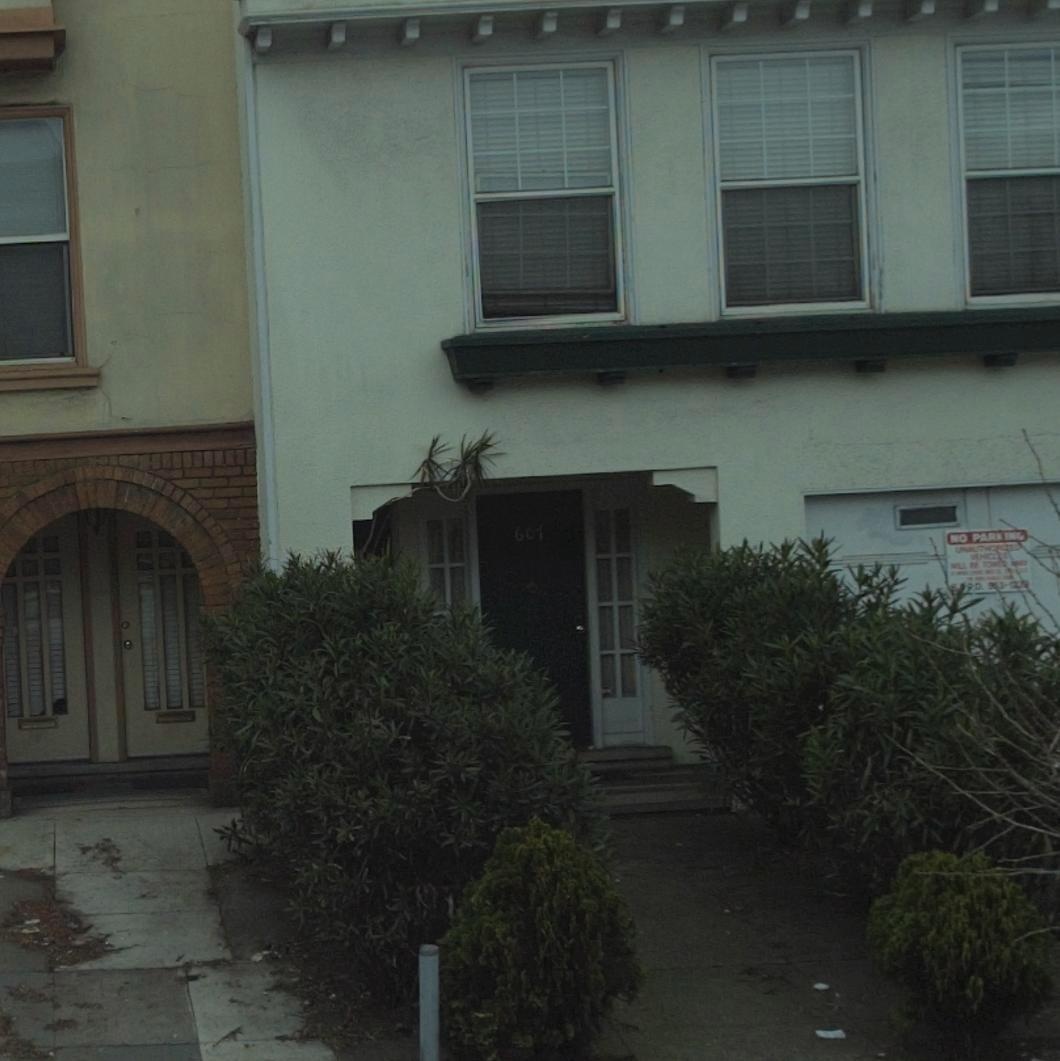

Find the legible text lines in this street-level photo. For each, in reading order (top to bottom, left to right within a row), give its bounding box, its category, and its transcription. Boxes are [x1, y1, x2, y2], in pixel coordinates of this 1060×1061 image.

[512, 524, 544, 543] StreetNumber: 601
[950, 530, 1025, 546] None: NO PARKING